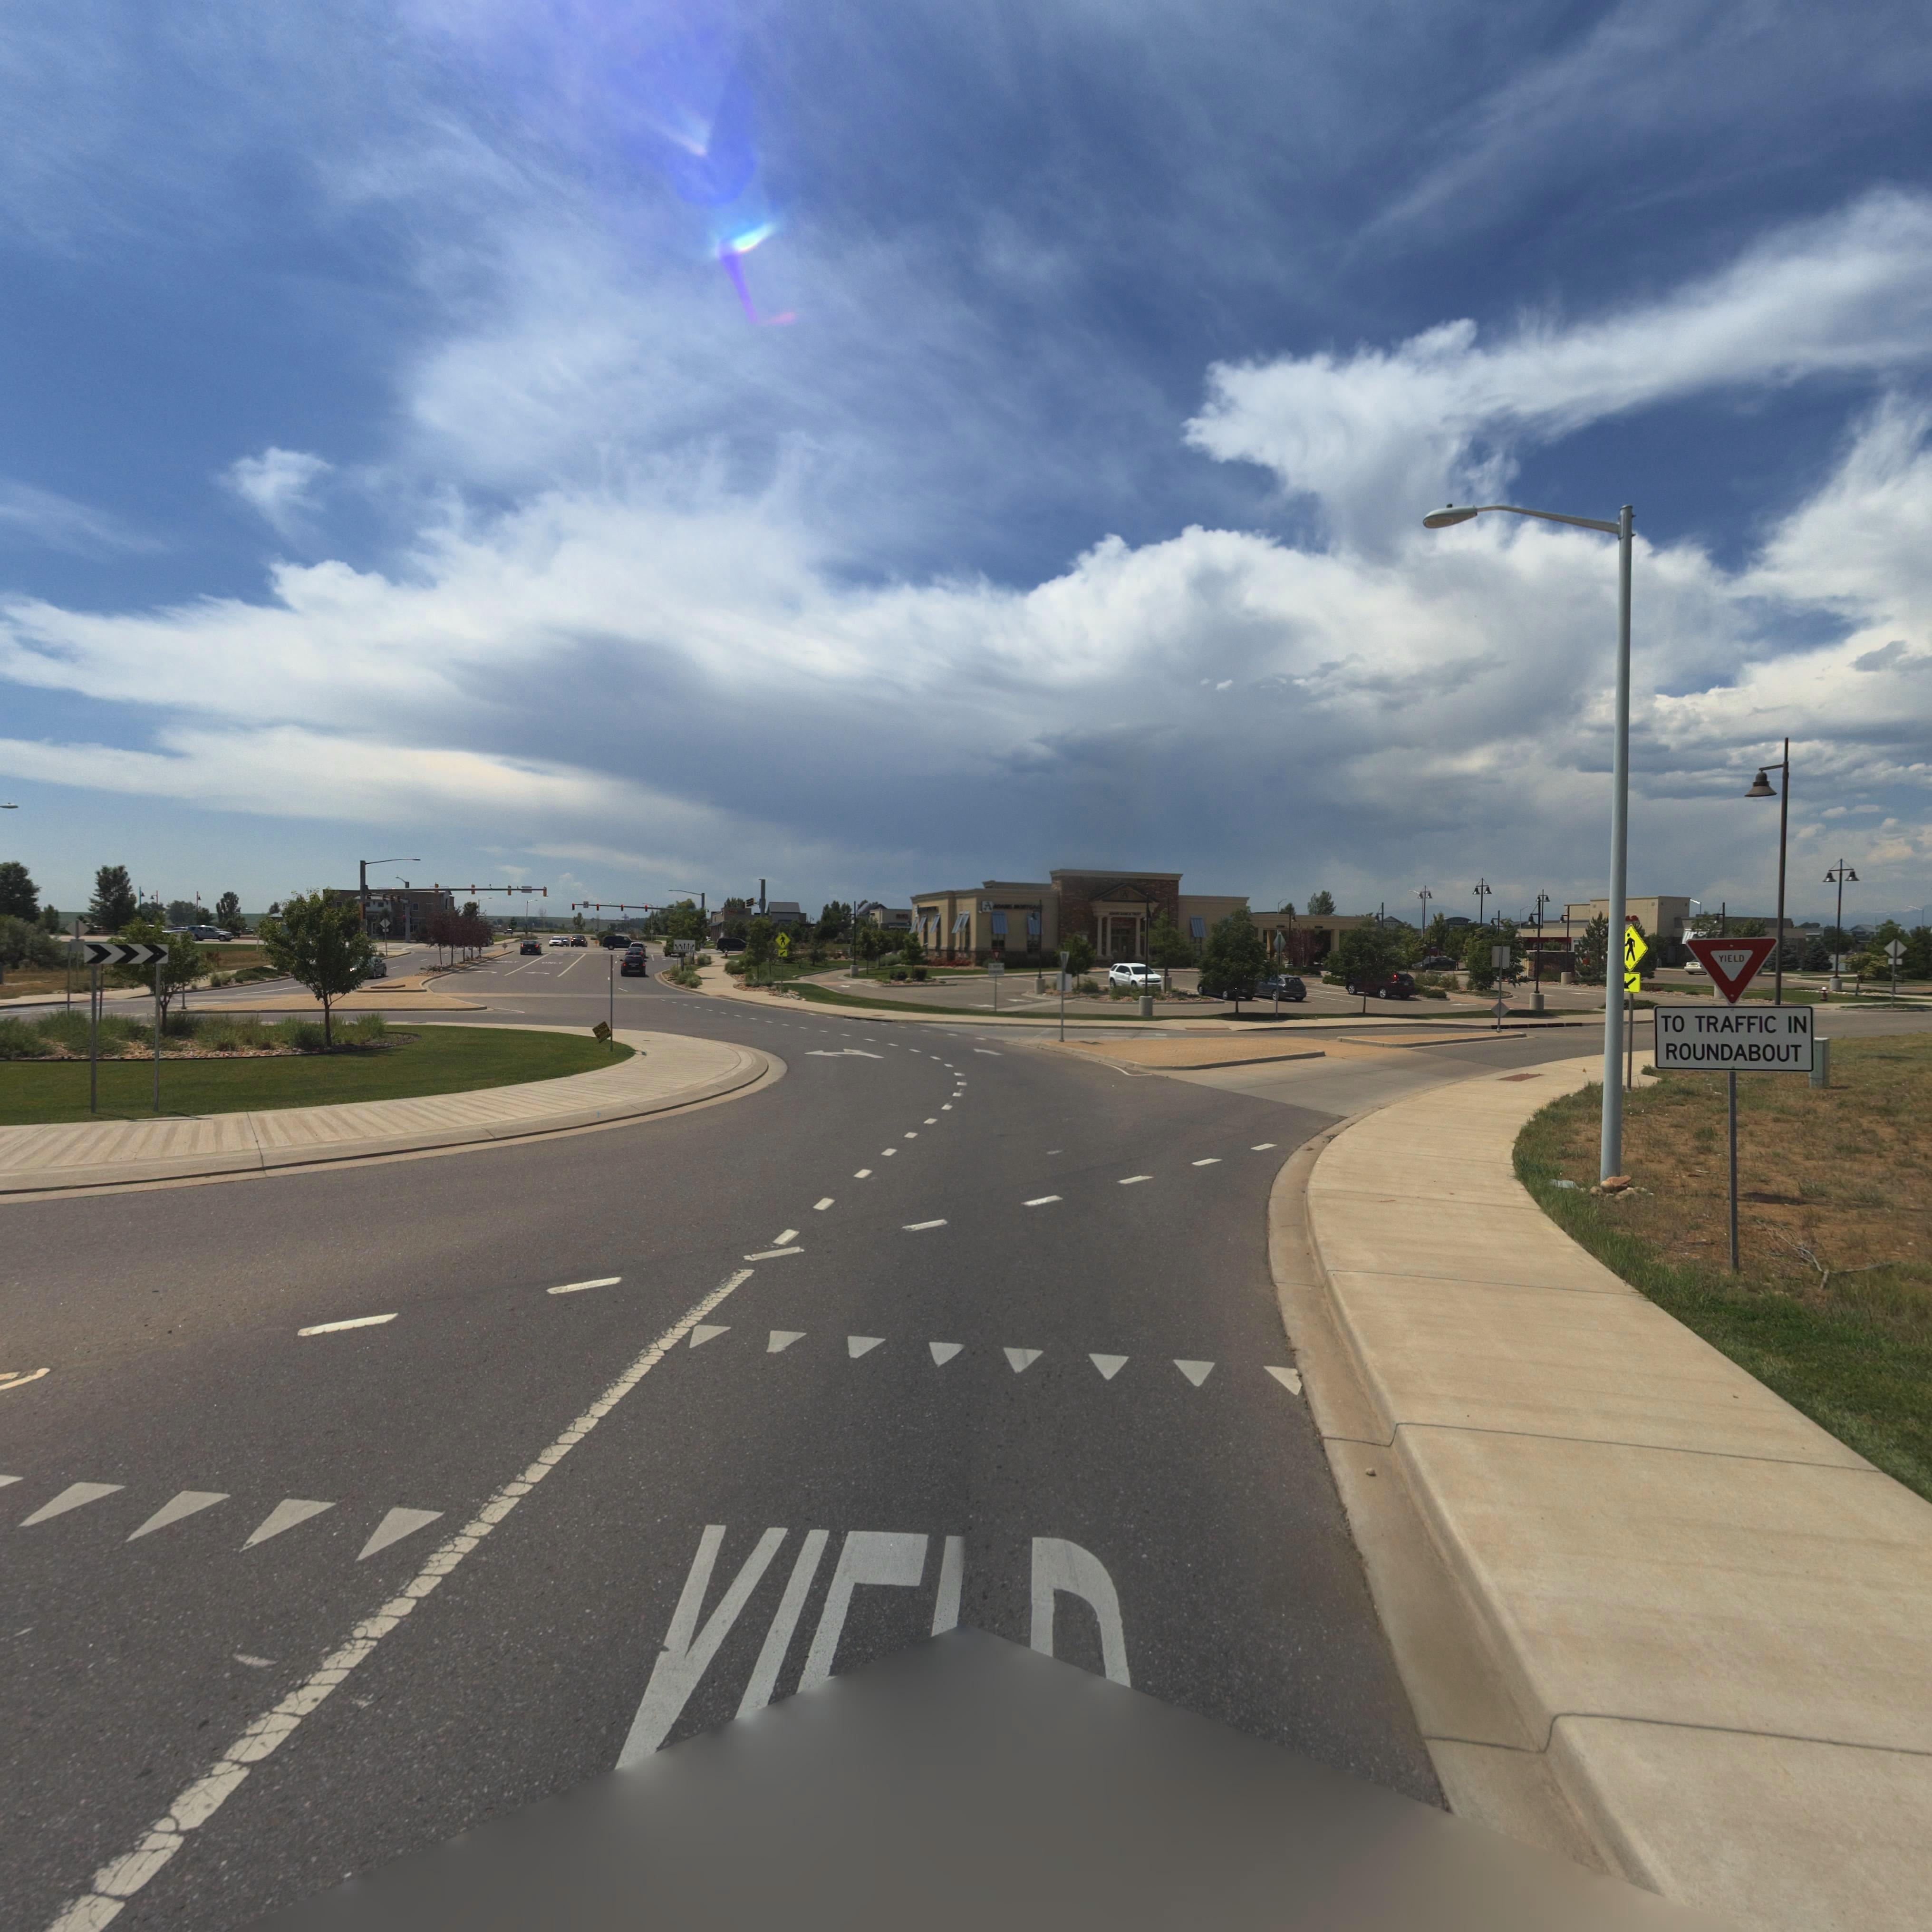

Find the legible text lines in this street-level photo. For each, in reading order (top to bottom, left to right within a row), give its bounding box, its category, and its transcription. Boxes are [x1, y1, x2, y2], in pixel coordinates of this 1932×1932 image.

[992, 903, 1043, 910] BusinessName: ADAMS MORTGA**
[1109, 911, 1141, 916] BusinessName: ADAMS BANK & TRUST
[1625, 915, 1638, 921] BusinessName: s Jr